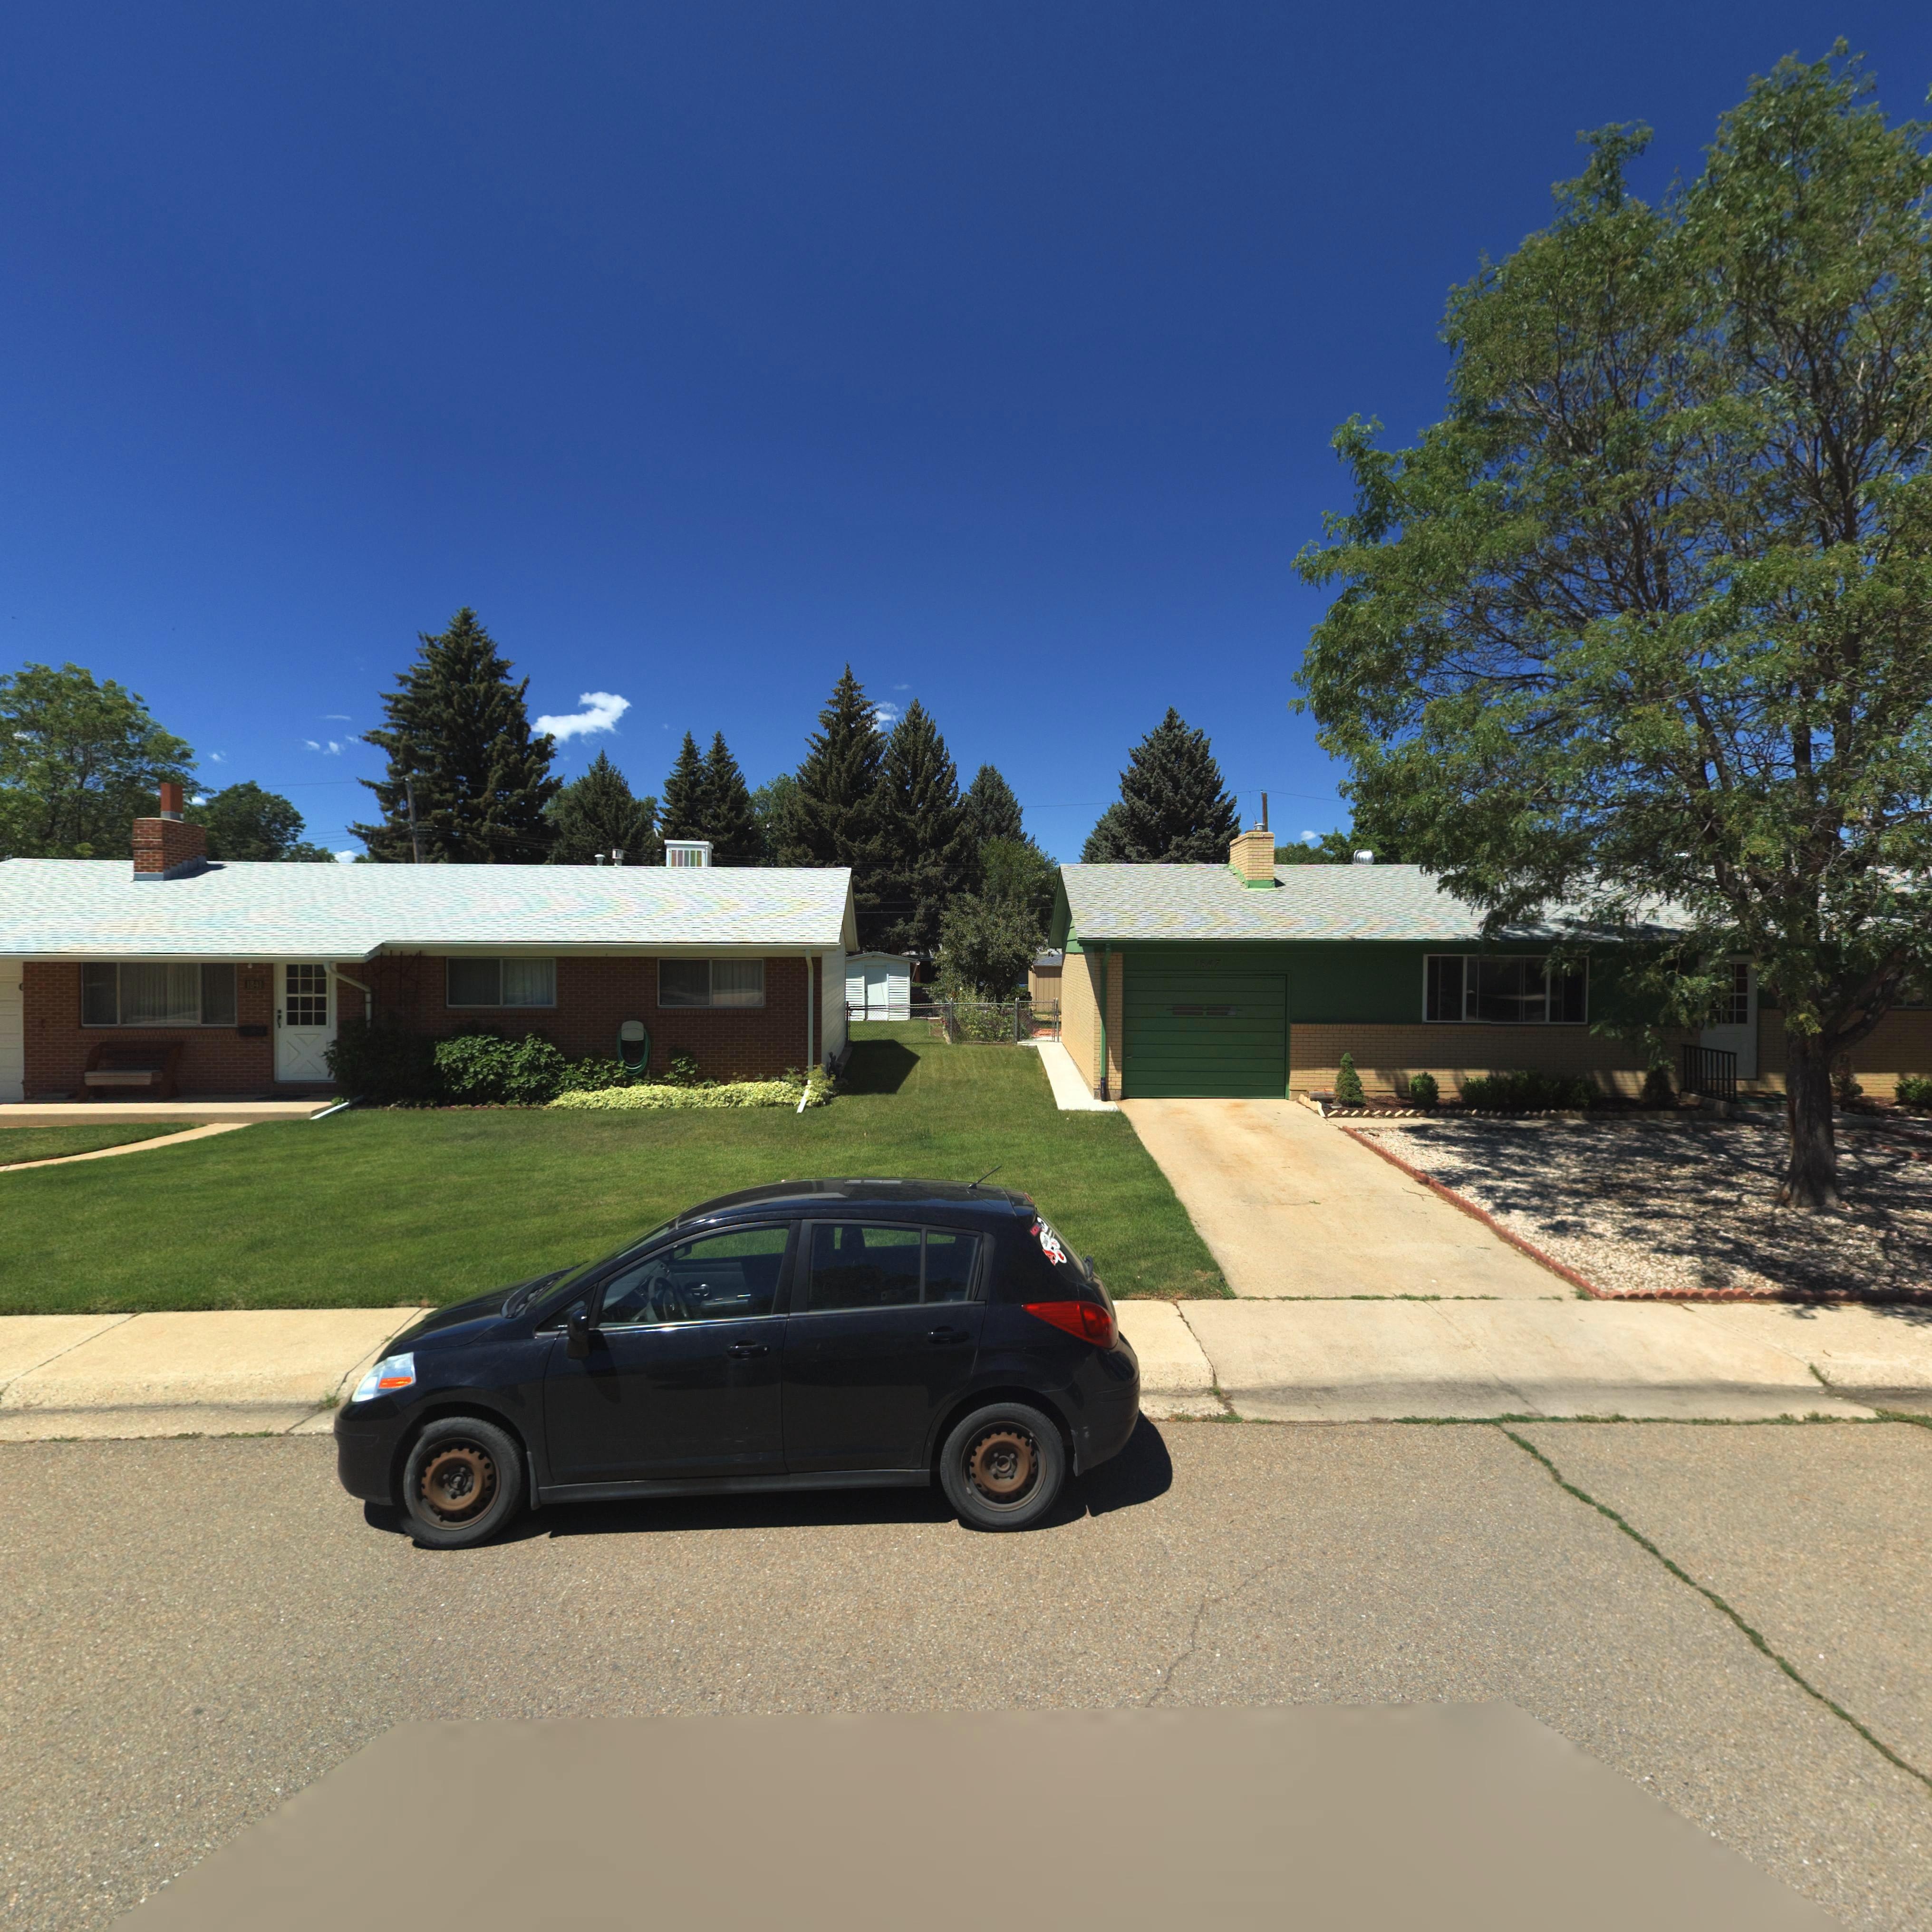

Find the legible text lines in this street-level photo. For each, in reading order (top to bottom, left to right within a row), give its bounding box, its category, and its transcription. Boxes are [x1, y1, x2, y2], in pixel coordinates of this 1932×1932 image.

[1194, 958, 1220, 969] StreetNumber: 1847
[246, 980, 262, 988] StreetNumber: 1841